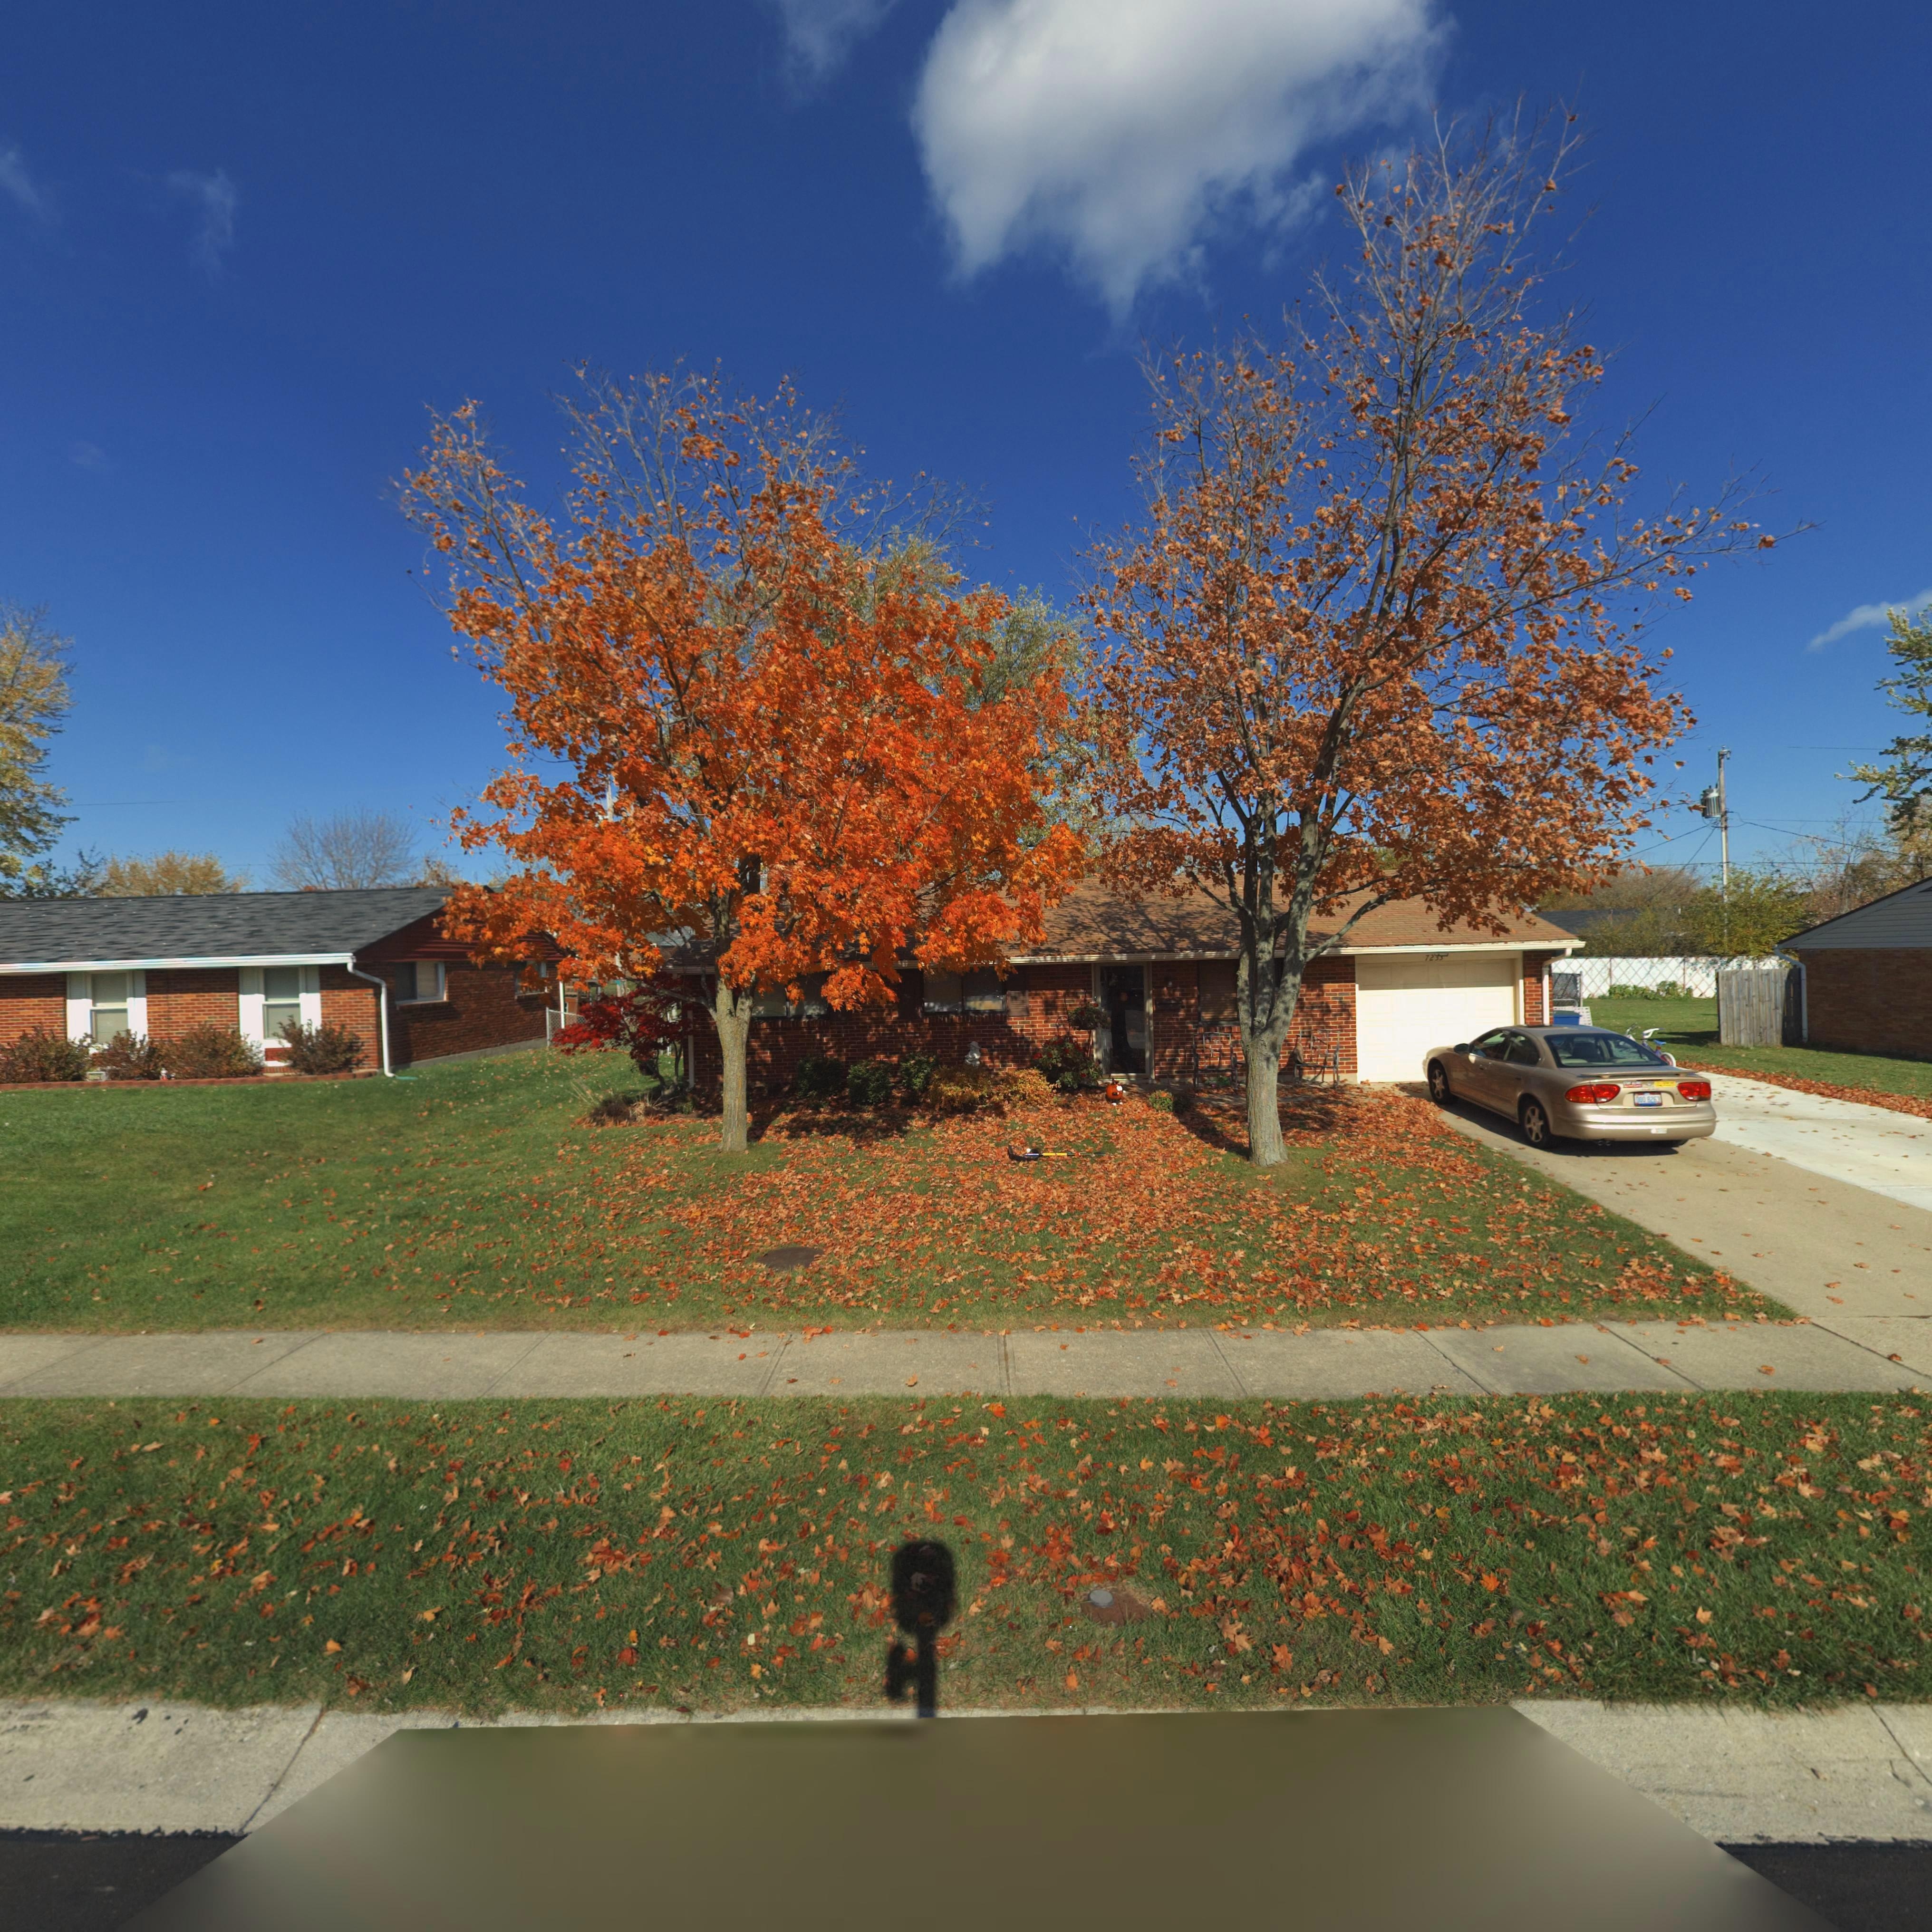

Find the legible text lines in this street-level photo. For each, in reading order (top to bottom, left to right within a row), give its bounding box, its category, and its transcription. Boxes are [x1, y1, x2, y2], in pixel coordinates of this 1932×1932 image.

[1424, 954, 1435, 962] StreetNumber: 72